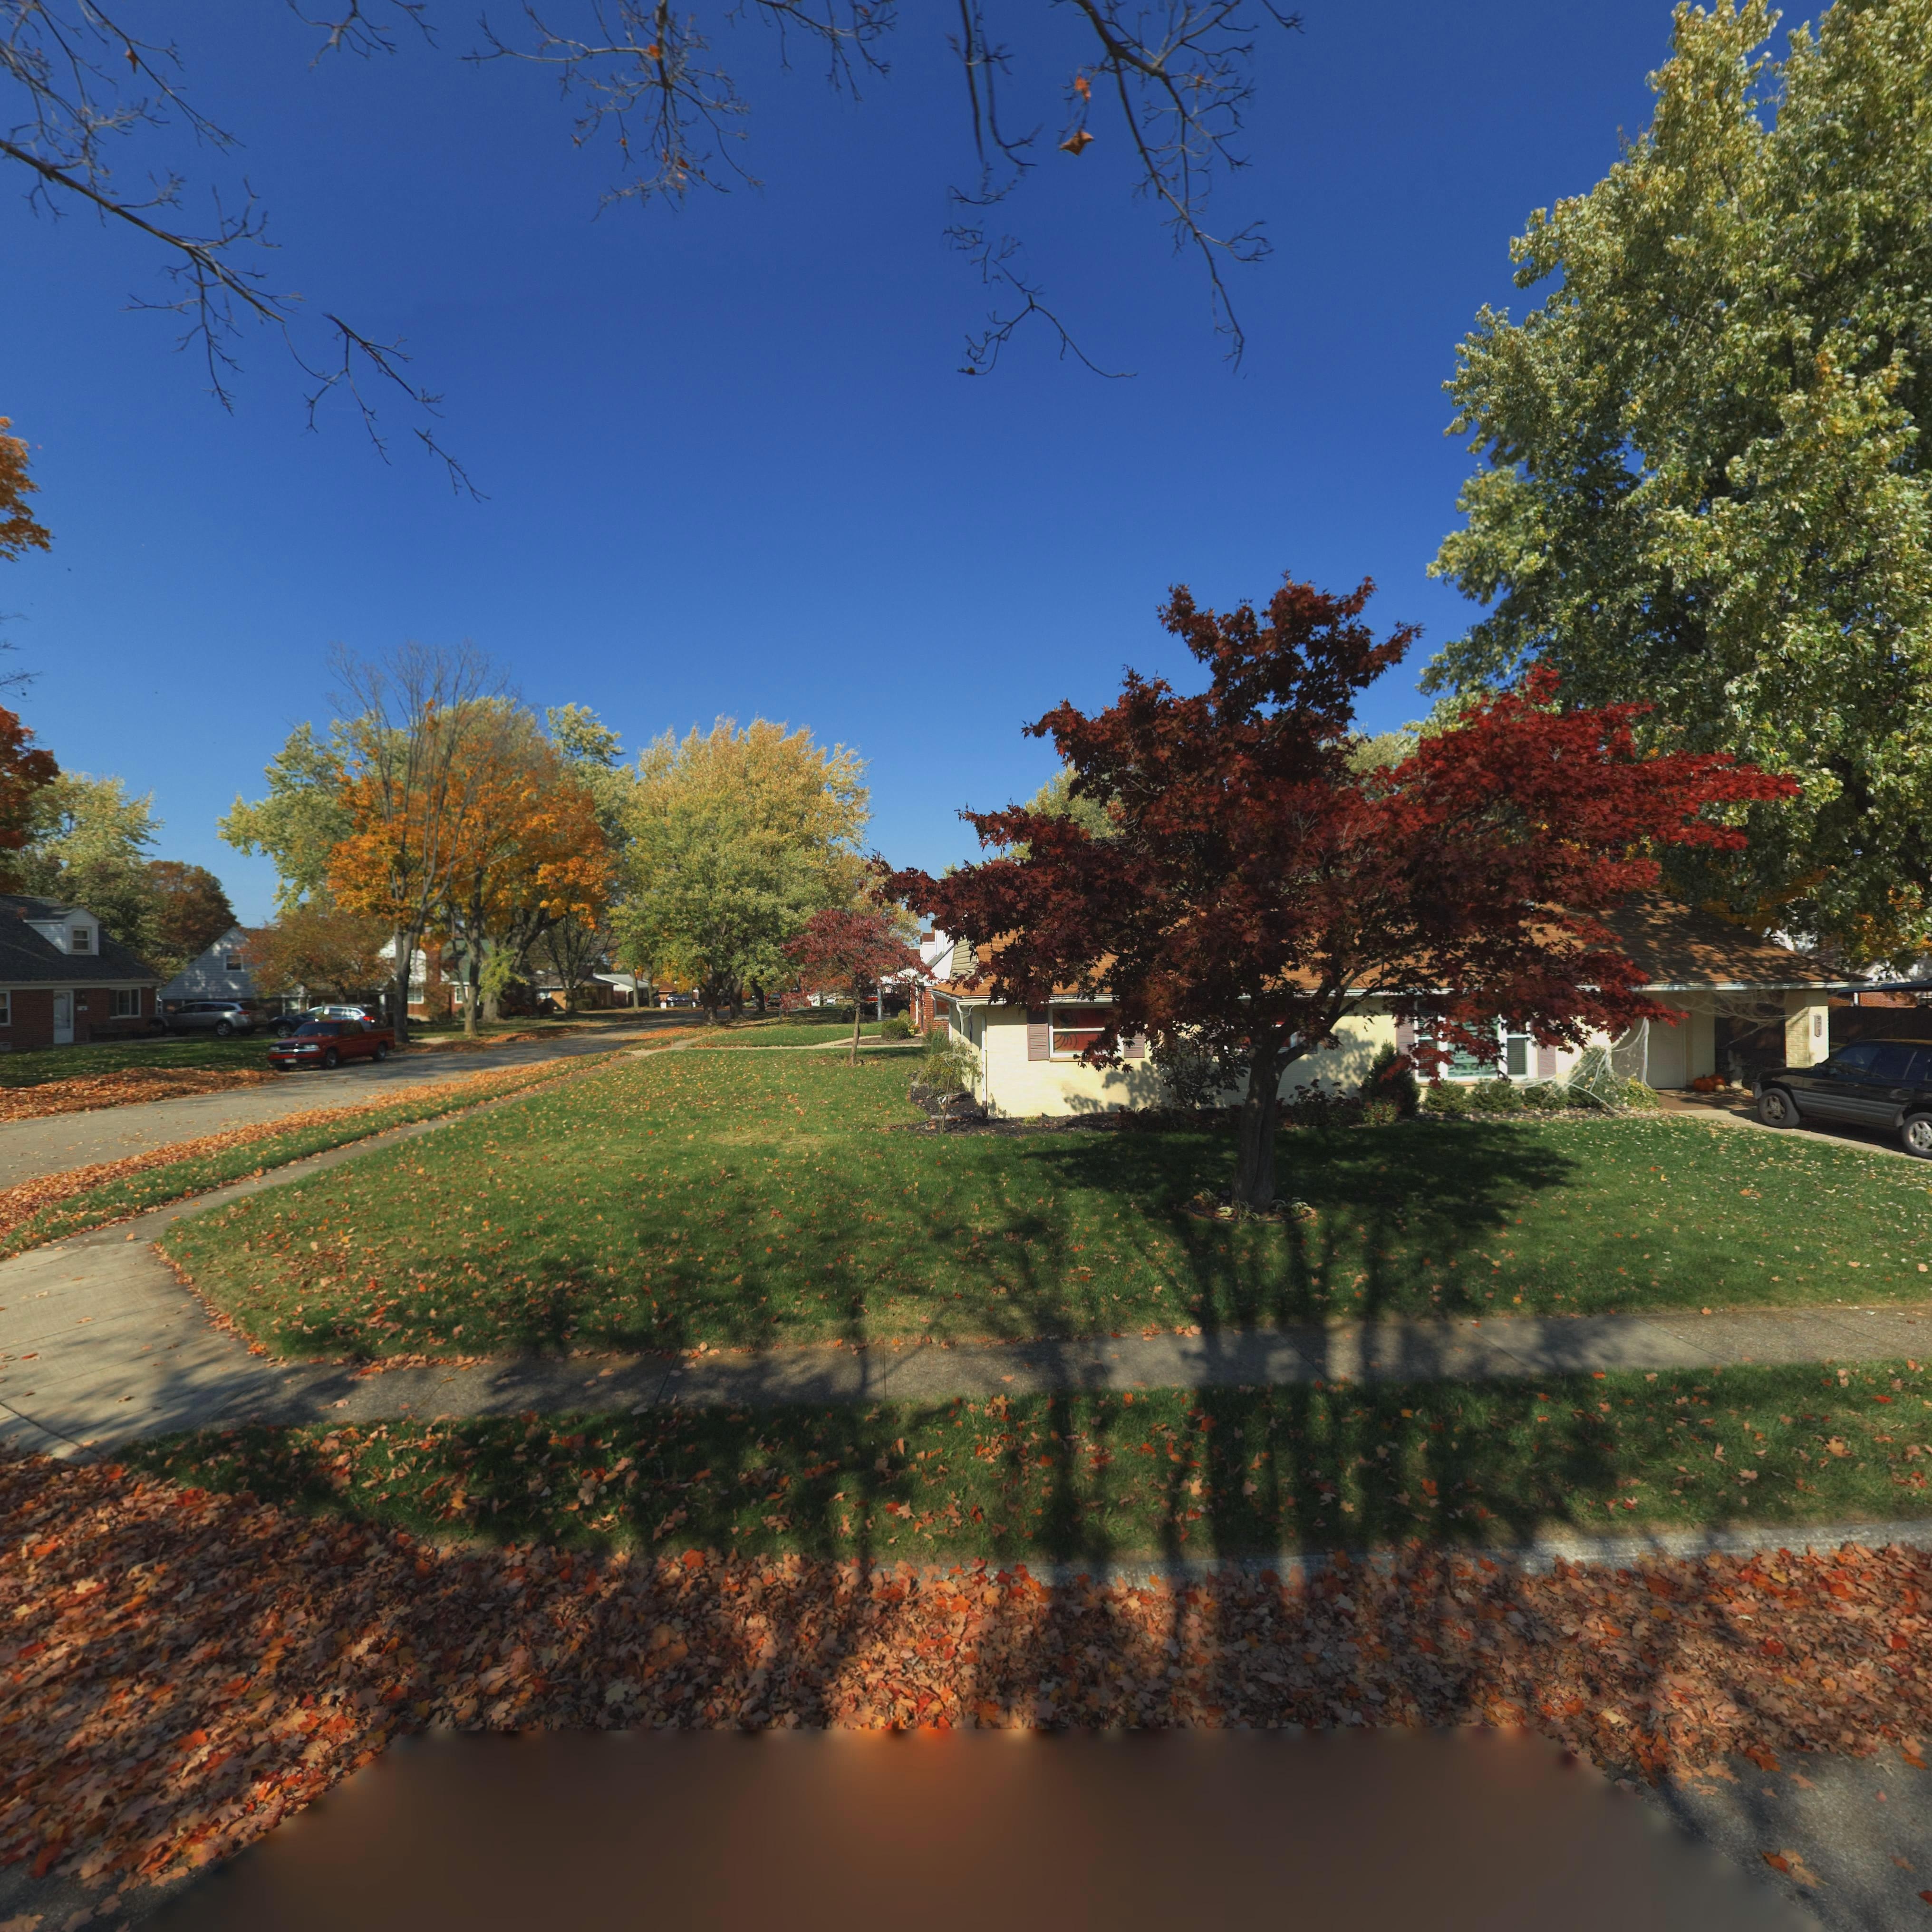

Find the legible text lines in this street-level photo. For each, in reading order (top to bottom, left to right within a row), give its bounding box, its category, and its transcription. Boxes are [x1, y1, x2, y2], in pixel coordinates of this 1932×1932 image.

[1816, 1015, 1822, 1036] StreetNumber: 971